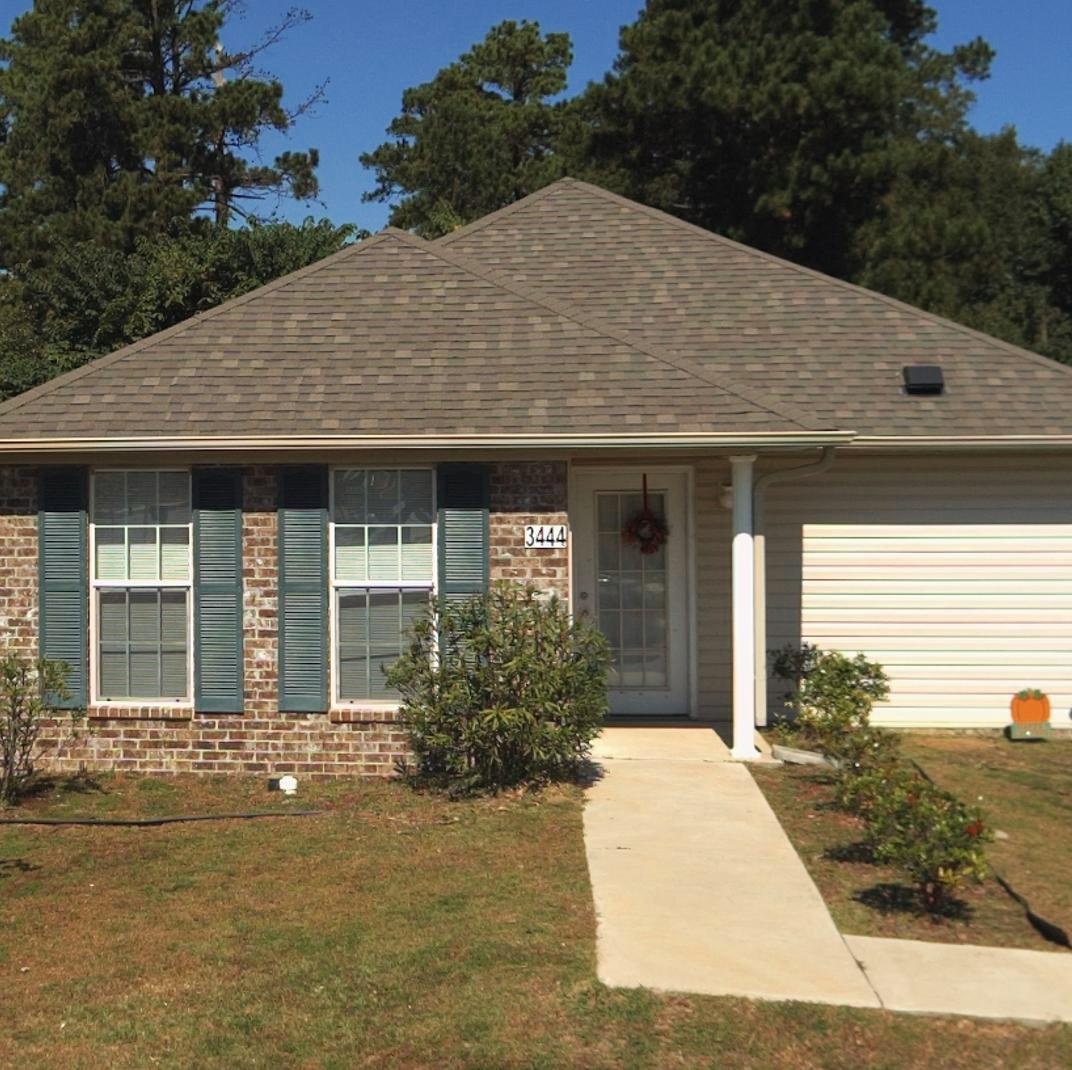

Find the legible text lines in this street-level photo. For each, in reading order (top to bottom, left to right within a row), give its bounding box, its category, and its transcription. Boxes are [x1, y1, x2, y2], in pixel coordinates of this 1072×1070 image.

[525, 525, 566, 547] StreetNumber: 3444